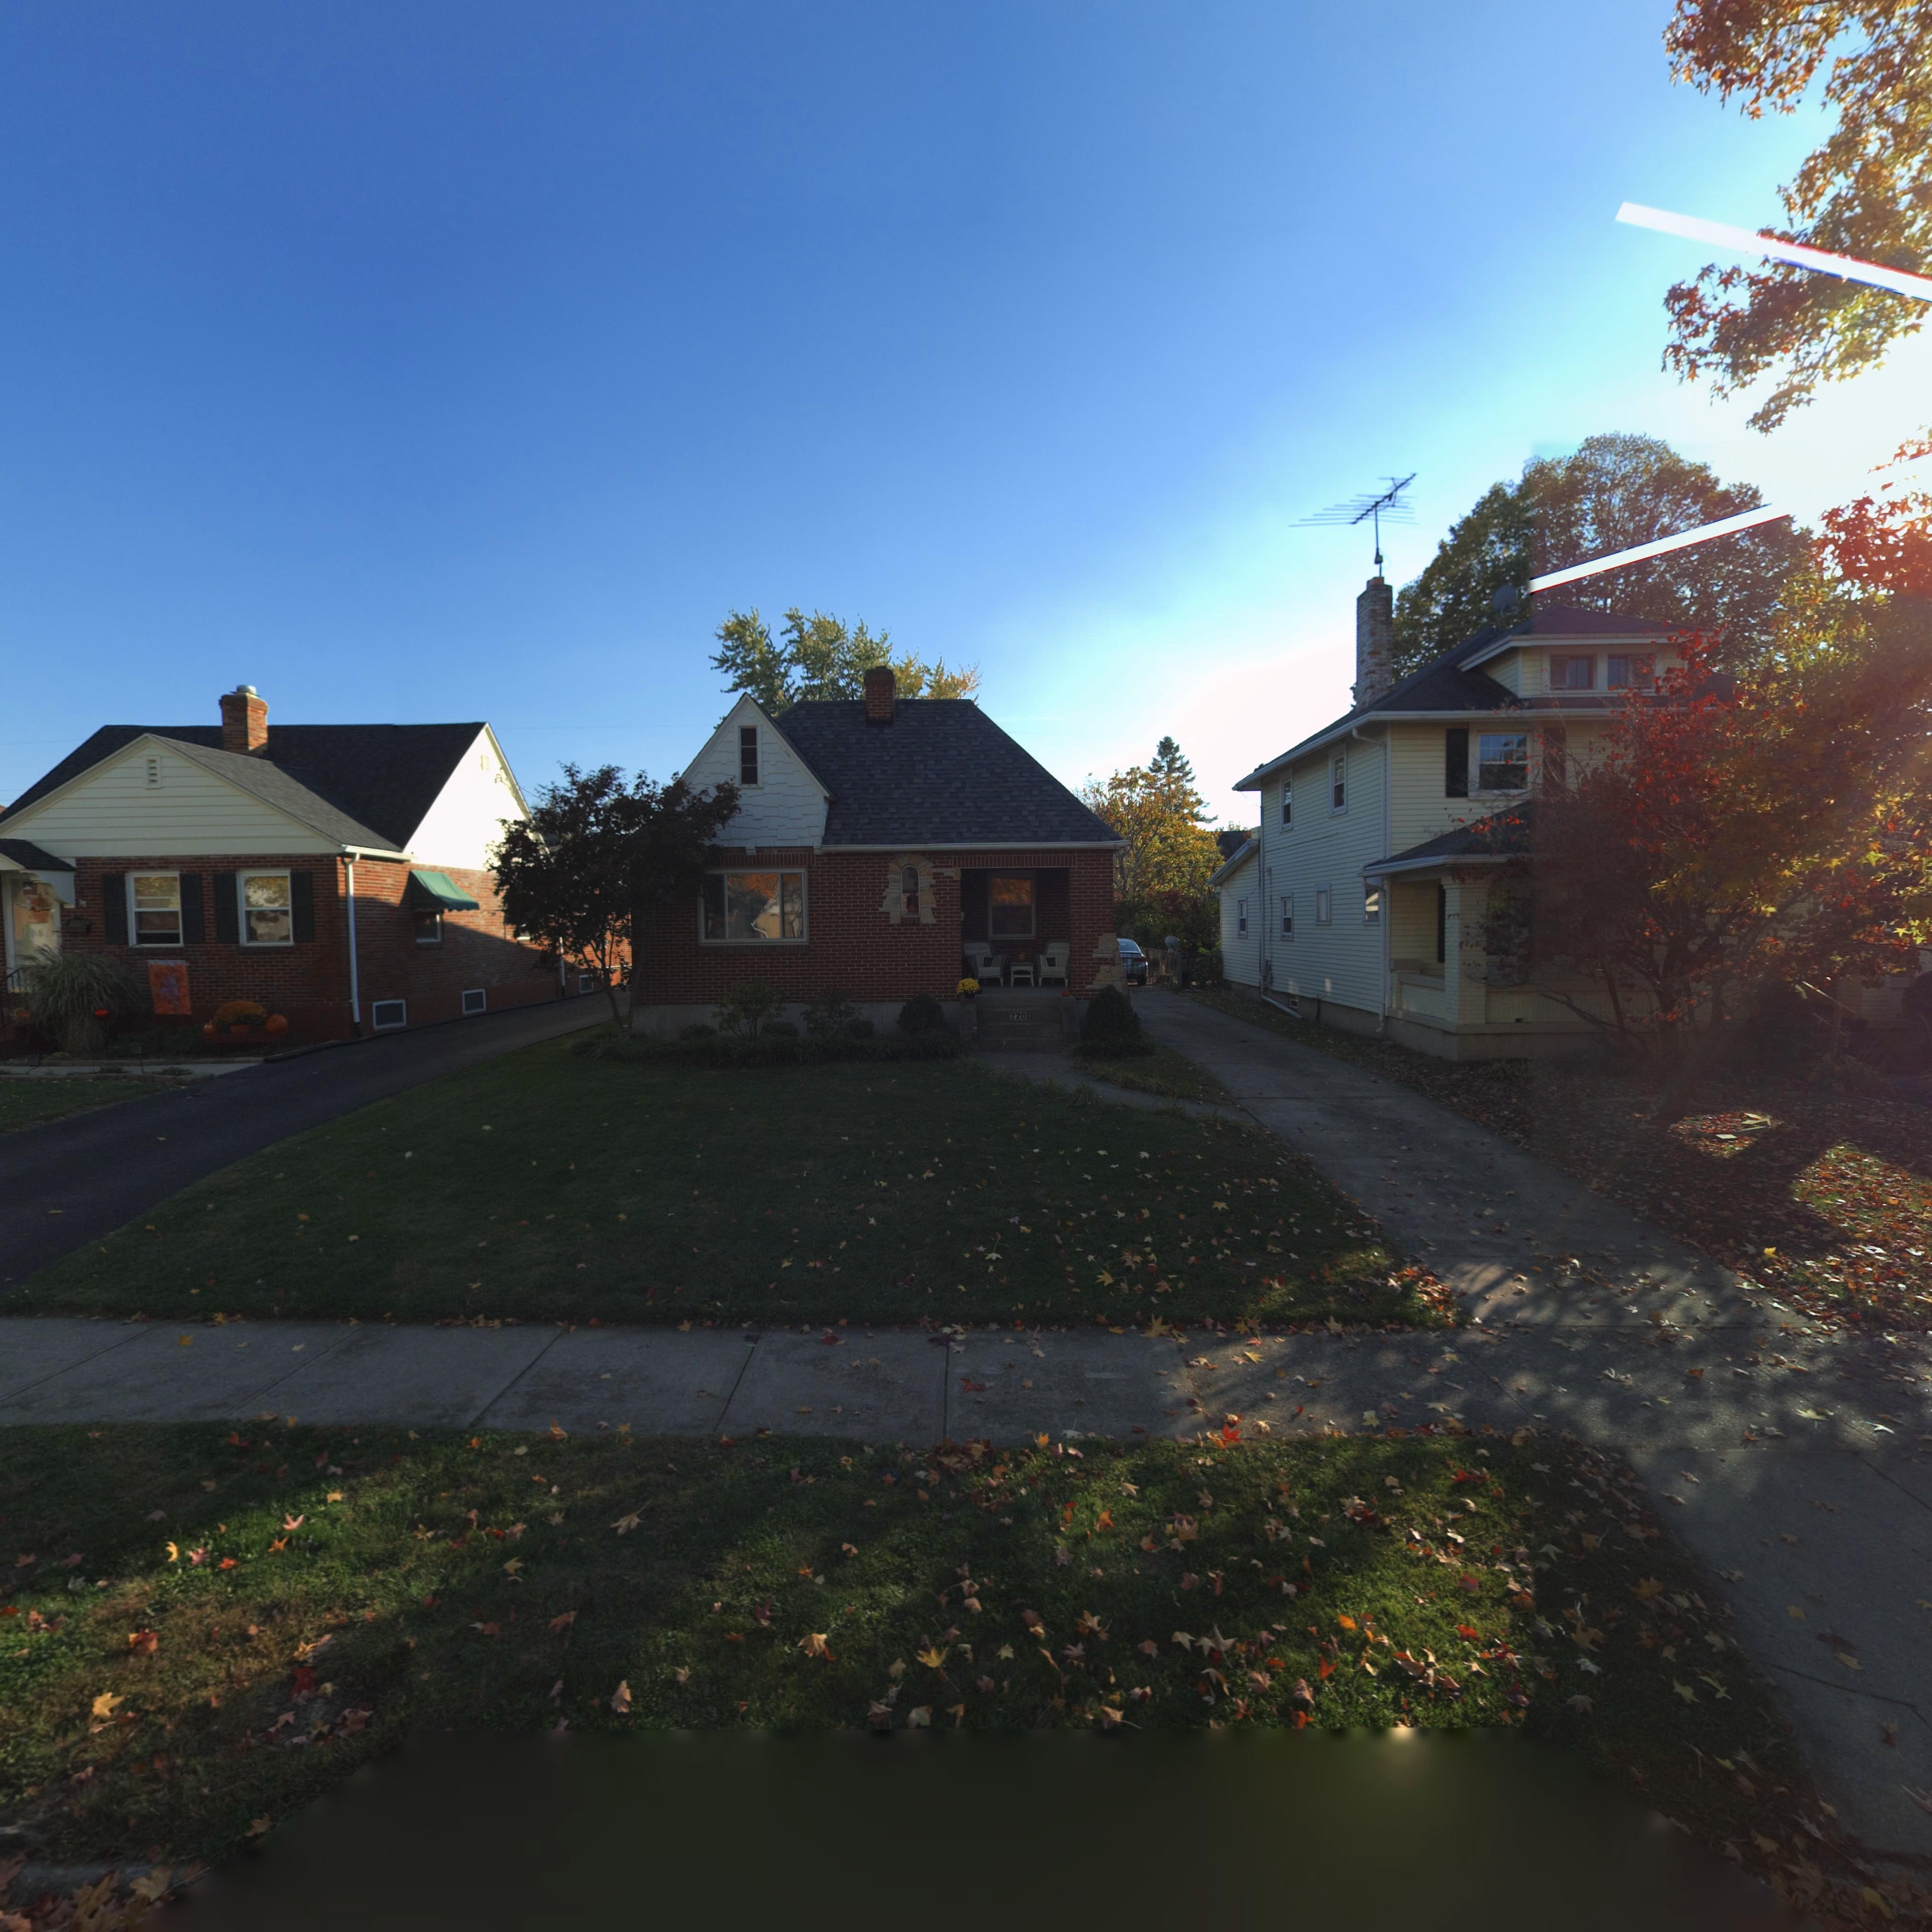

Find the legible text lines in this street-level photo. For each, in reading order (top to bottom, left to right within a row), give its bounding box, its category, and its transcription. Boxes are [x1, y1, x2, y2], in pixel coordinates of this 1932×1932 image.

[1010, 1012, 1026, 1020] StreetNumber: 220